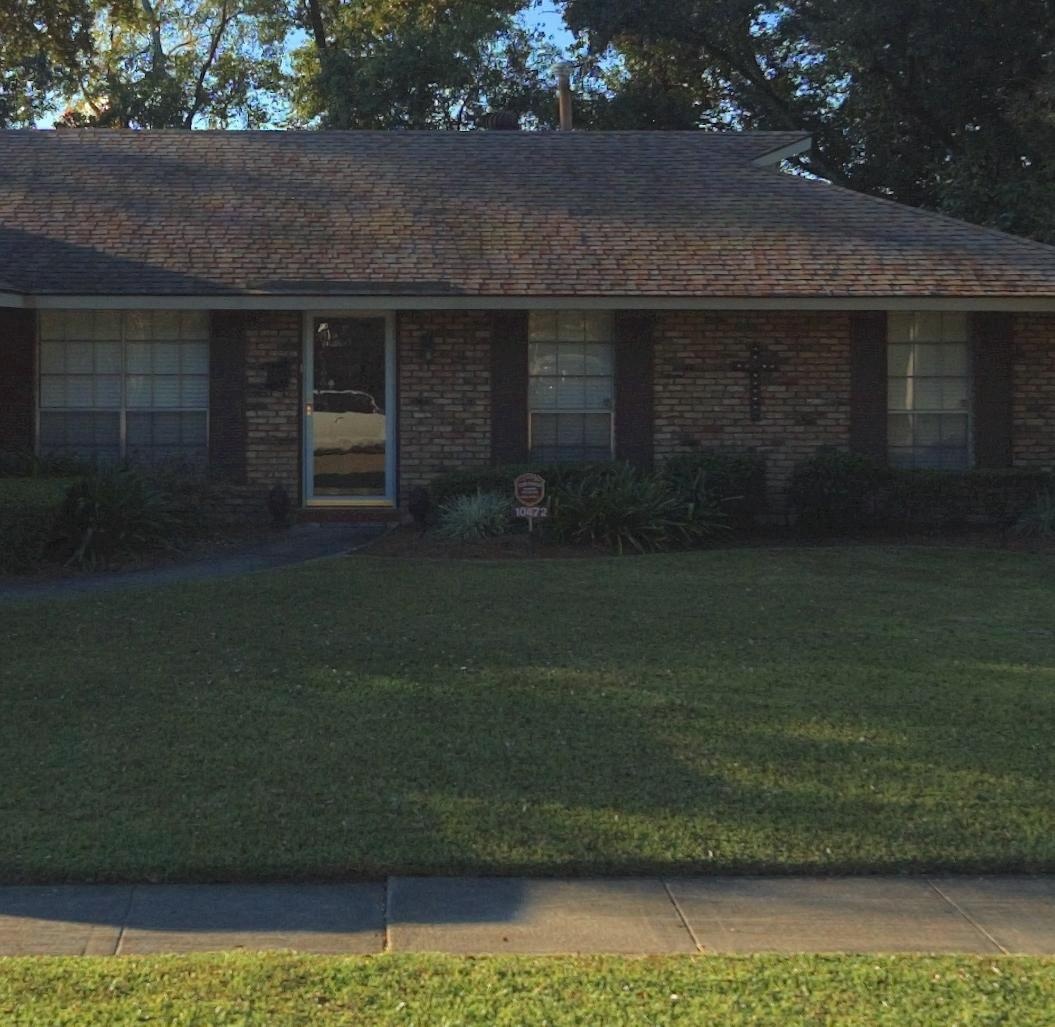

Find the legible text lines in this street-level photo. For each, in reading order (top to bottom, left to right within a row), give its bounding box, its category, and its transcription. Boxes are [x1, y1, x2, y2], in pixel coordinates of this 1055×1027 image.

[514, 505, 550, 519] StreetNumber: 10472